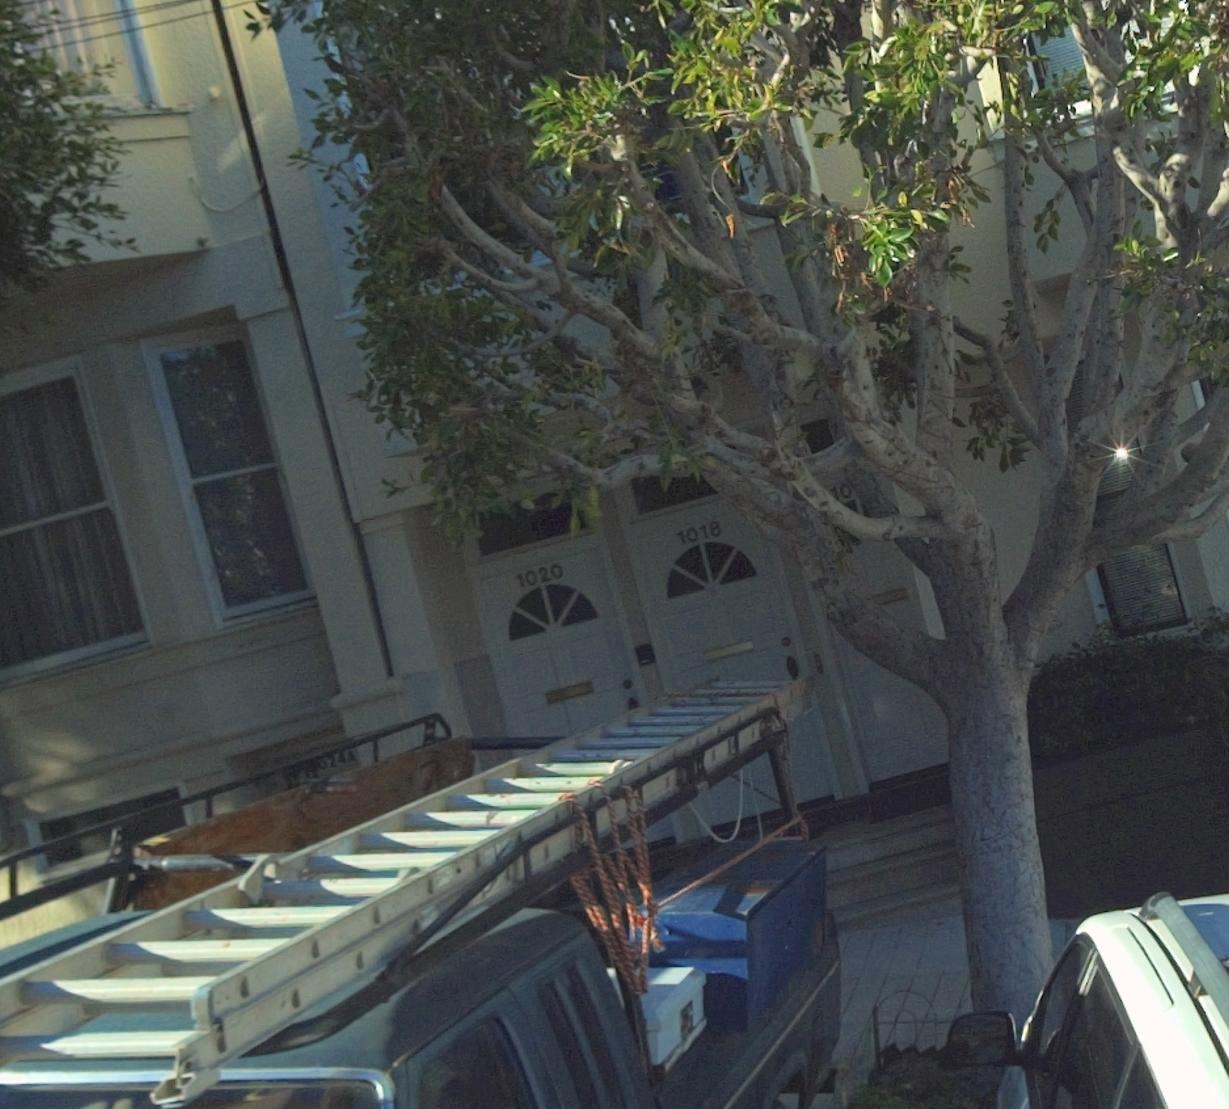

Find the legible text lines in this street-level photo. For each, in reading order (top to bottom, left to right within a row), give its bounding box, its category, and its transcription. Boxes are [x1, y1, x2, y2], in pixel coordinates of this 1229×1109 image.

[827, 480, 855, 502] None: 10
[673, 519, 724, 548] StreetNumber: 1018
[512, 562, 566, 592] StreetNumber: 1020
[316, 747, 360, 774] None: 024A